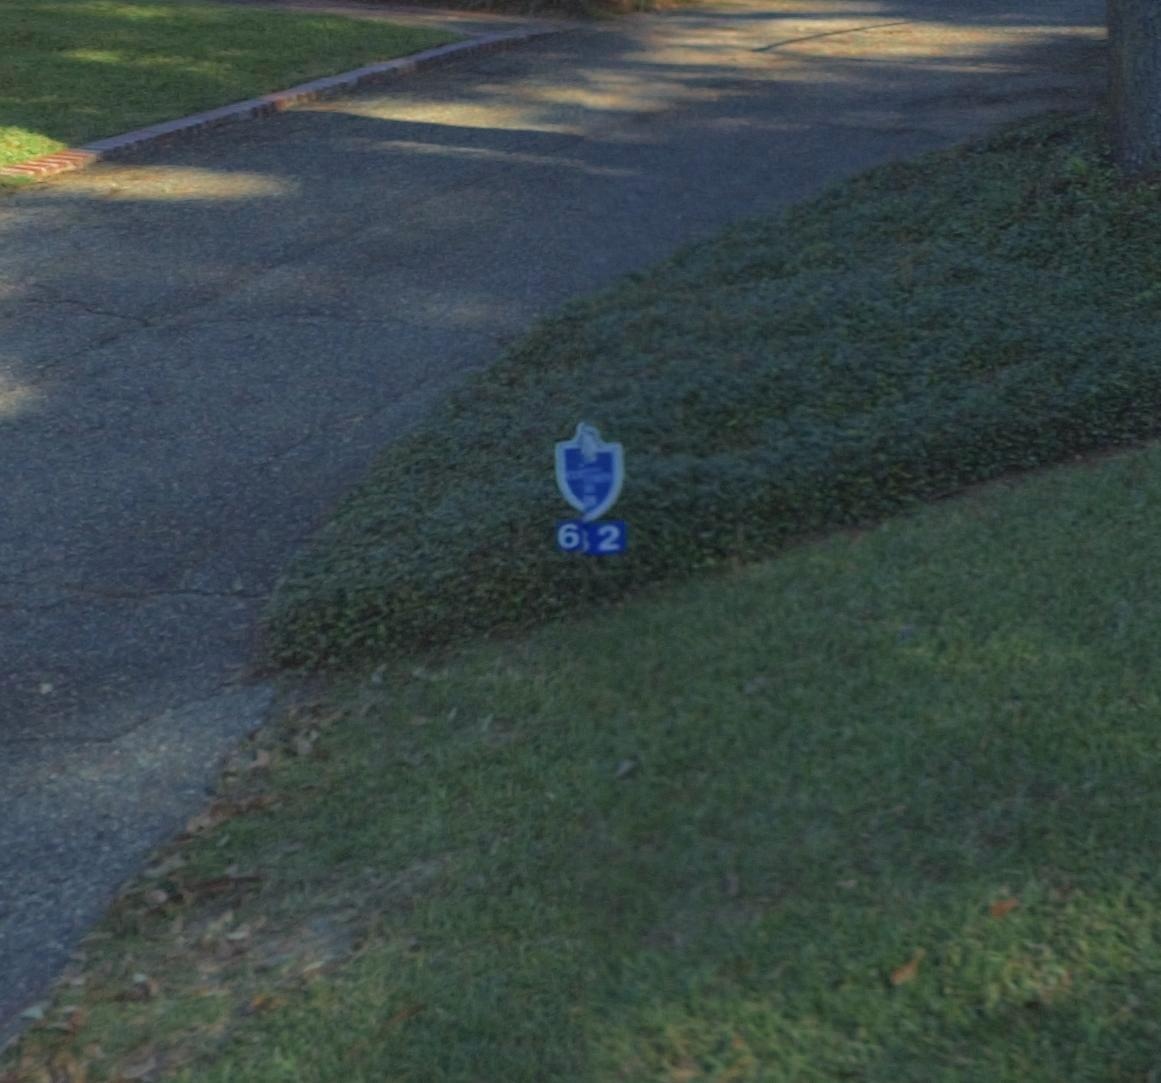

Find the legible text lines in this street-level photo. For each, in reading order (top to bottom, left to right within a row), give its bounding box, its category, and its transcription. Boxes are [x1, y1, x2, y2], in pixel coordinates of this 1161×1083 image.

[555, 521, 623, 554] StreetNumber: 6*2